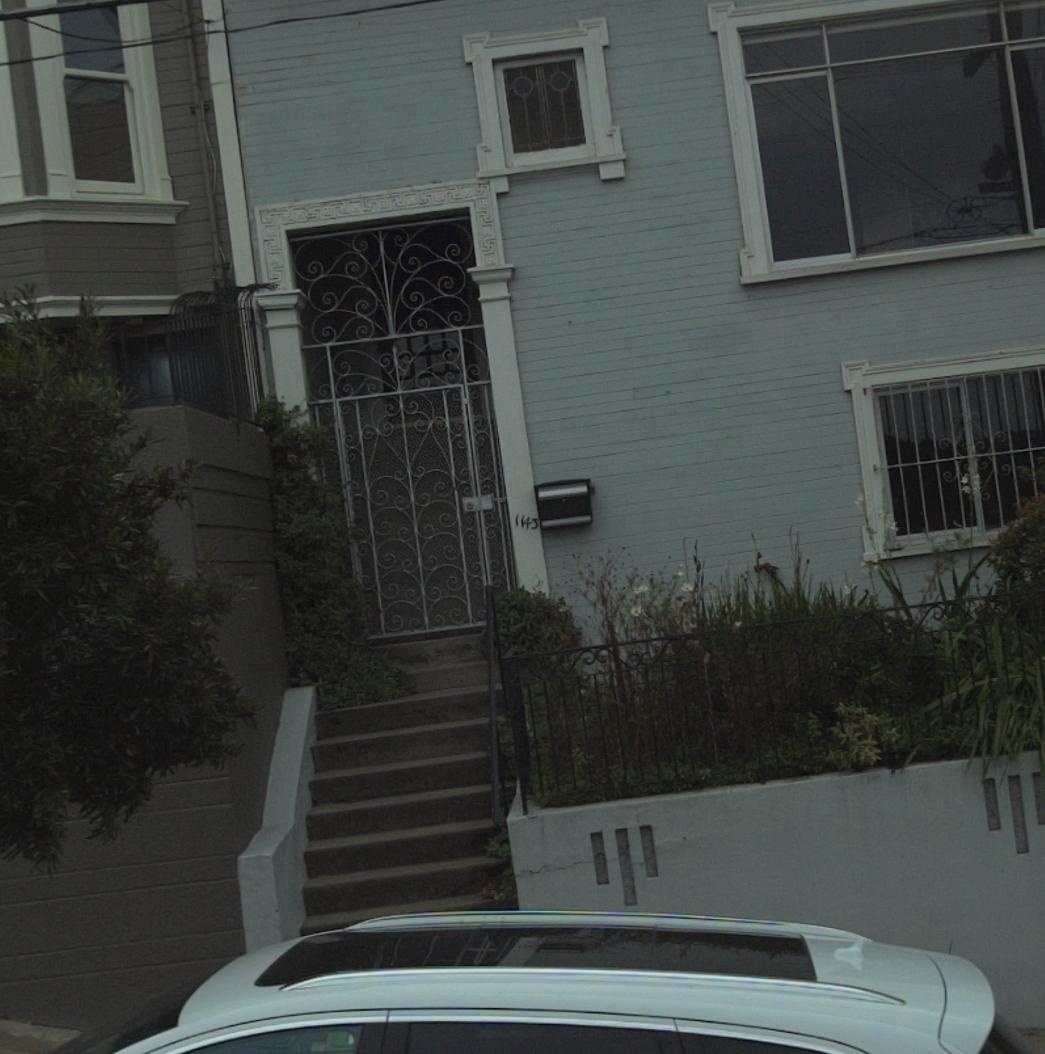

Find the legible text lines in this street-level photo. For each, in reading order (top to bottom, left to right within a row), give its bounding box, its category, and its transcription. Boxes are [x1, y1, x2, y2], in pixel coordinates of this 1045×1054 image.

[512, 512, 541, 532] StreetNumber: 1143